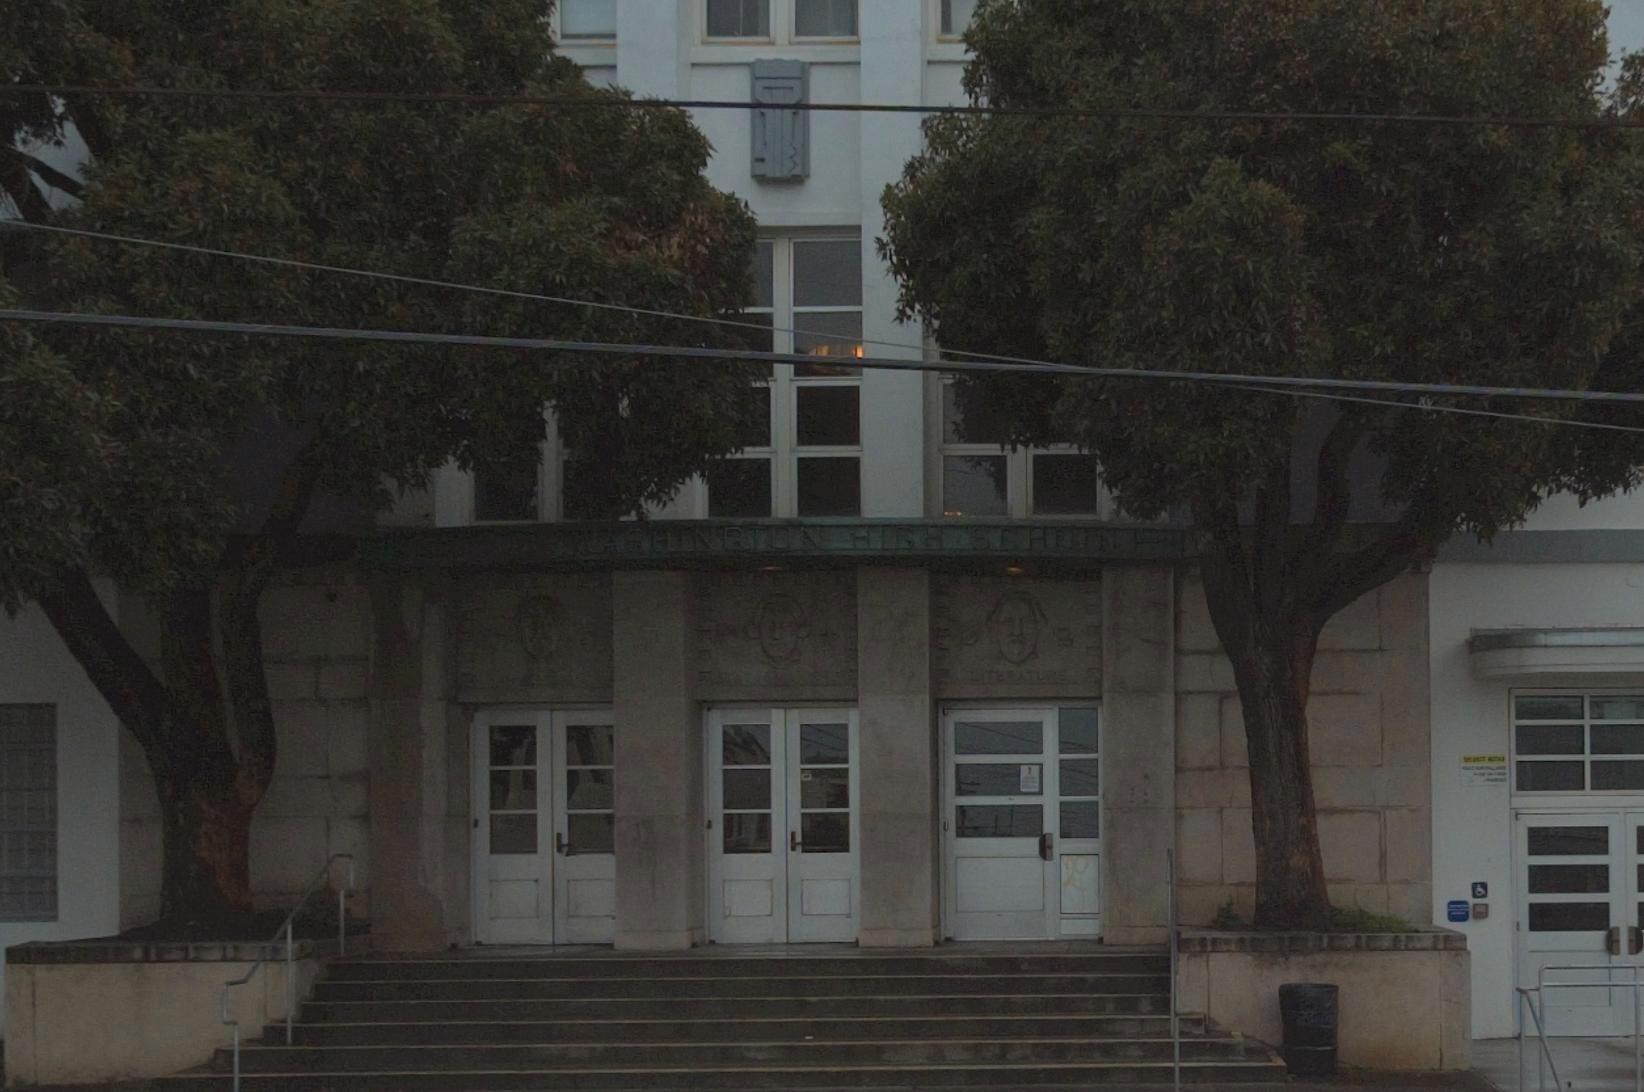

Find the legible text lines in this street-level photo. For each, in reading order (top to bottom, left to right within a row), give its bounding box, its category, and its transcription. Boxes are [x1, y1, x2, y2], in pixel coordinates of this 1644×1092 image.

[568, 525, 1130, 556] BusinessName: WASHINGTON HIGH SCHOOL
[962, 667, 1077, 685] None: LITERATURE